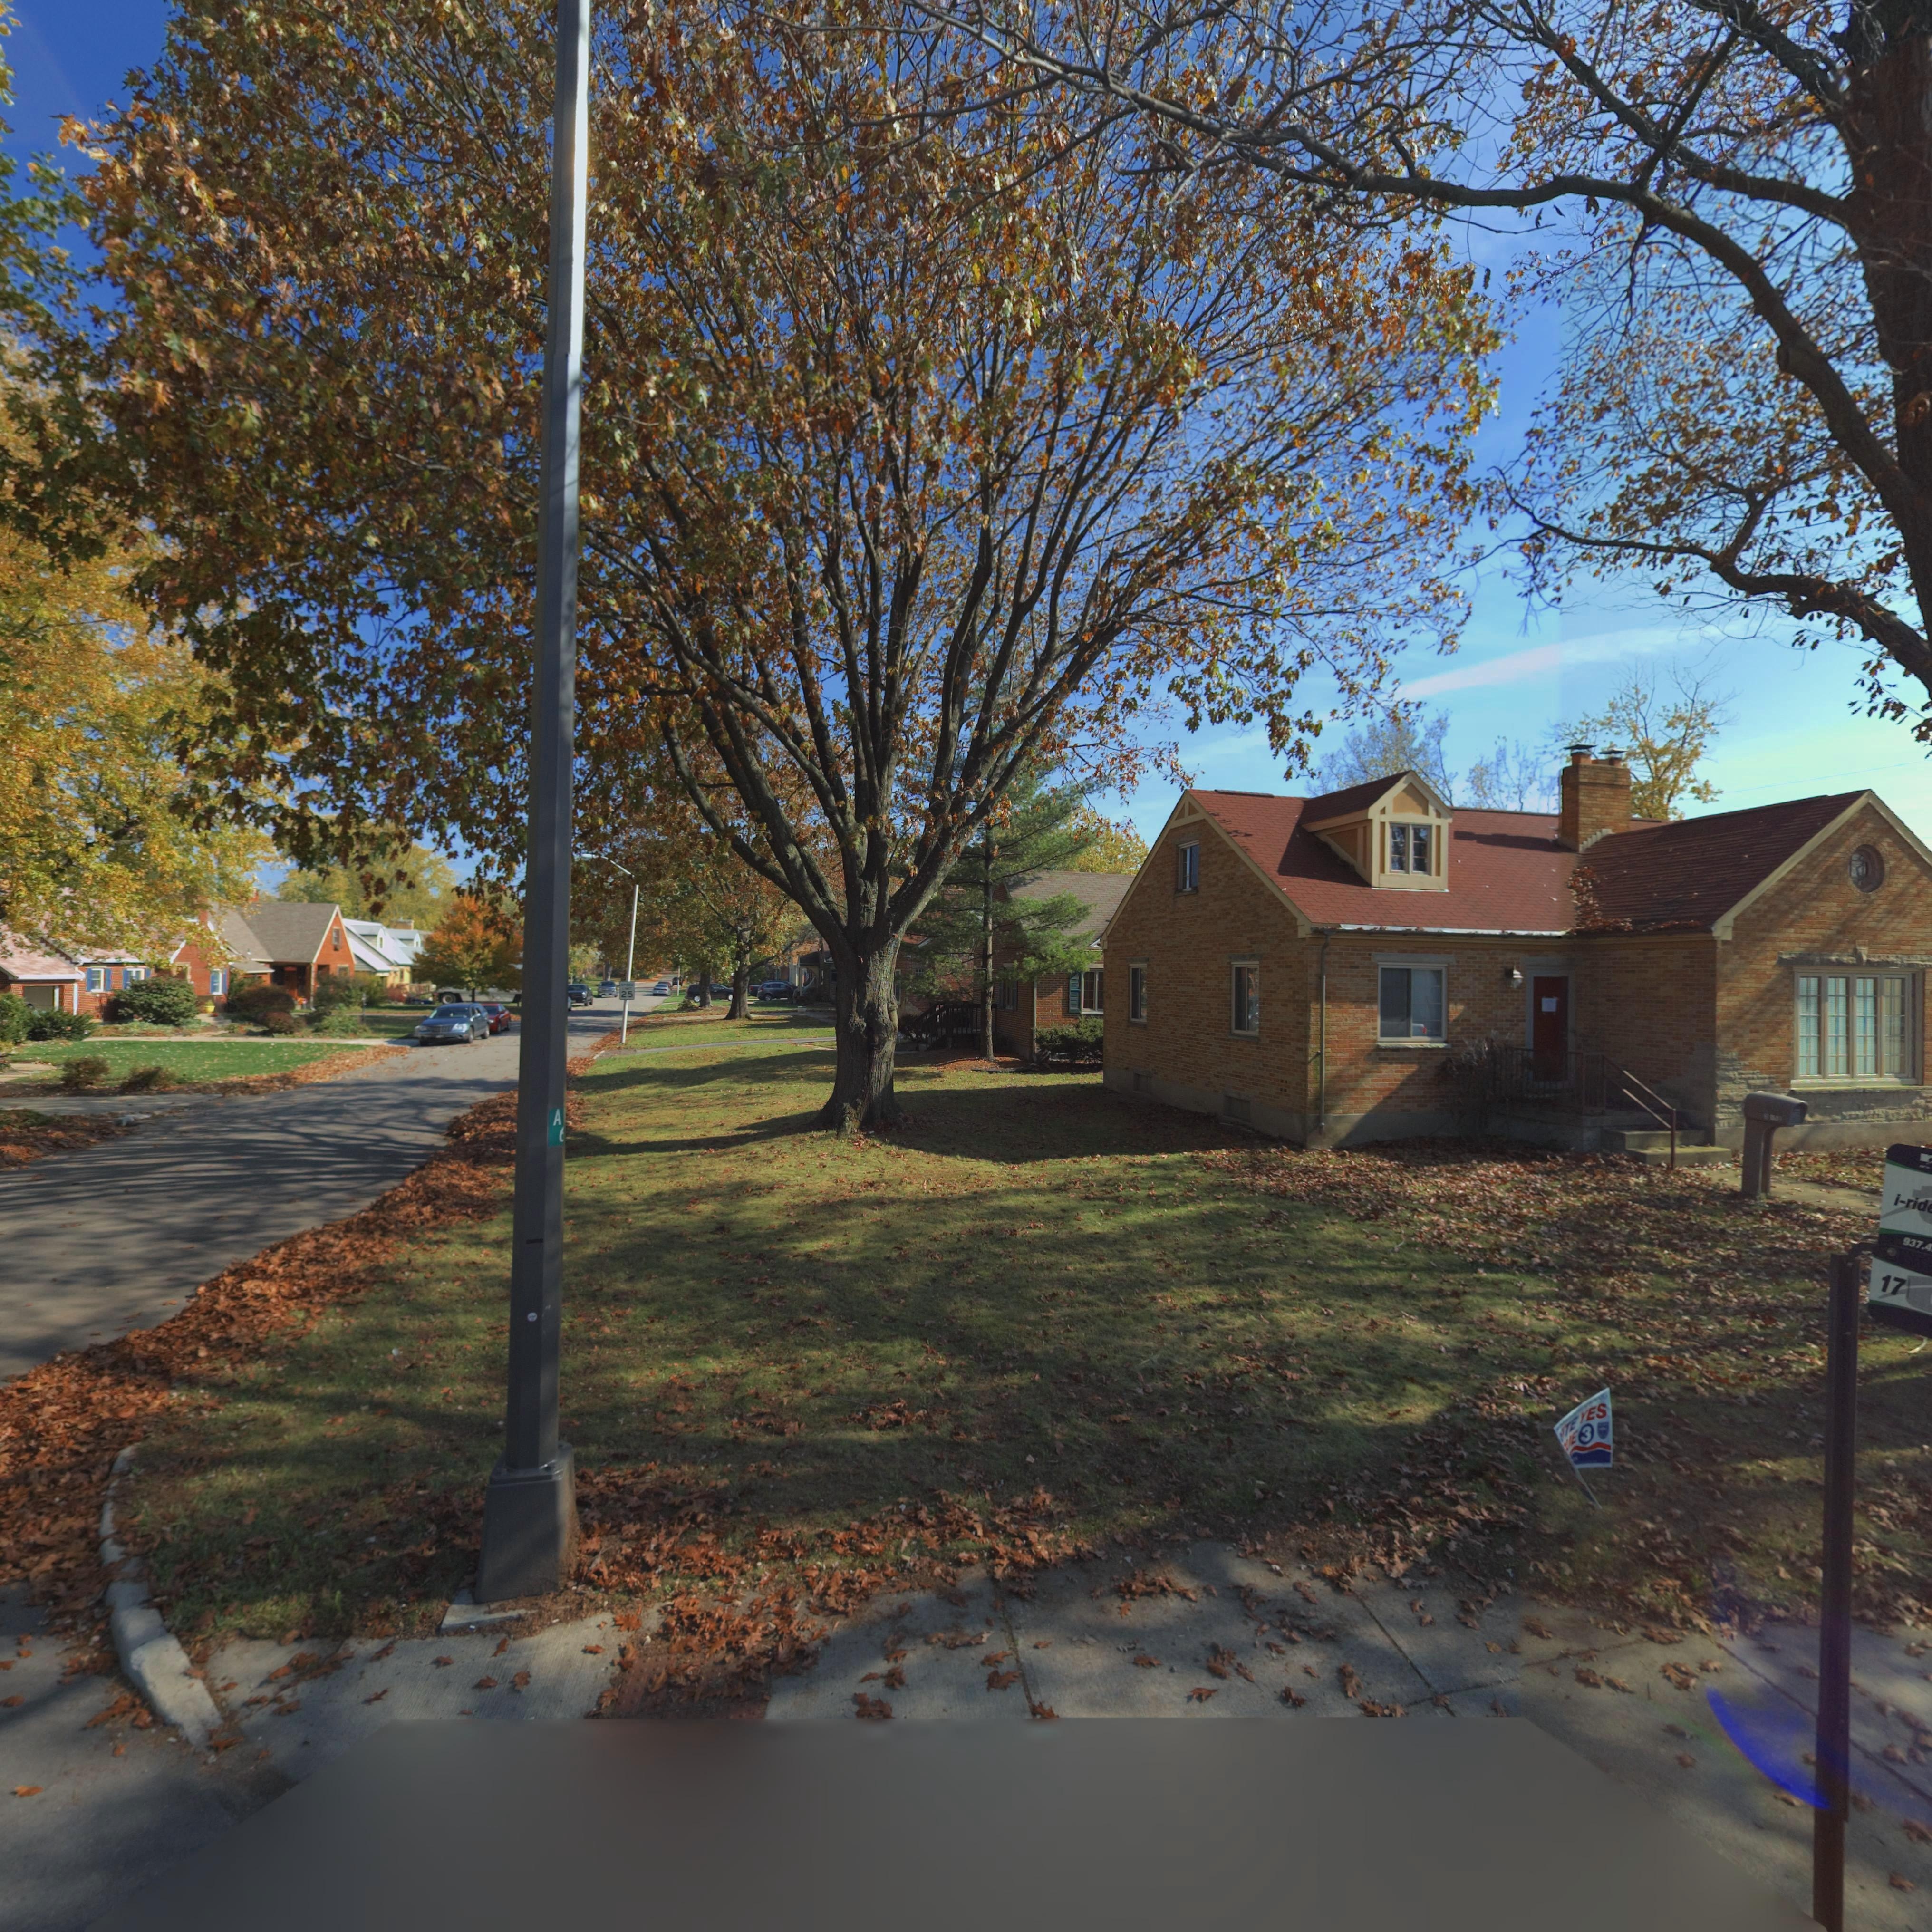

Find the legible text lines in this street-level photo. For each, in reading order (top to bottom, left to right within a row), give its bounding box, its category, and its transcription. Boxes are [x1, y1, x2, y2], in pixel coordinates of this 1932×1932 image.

[621, 990, 633, 998] None: 25
[552, 1108, 562, 1126] None: A
[1893, 1192, 1930, 1213] None: i-rid
[1901, 1236, 1932, 1253] None: 937.4
[1880, 1274, 1908, 1296] None: 17
[1565, 1402, 1608, 1437] None: TE YES
[1571, 1424, 1593, 1446] None: E 3